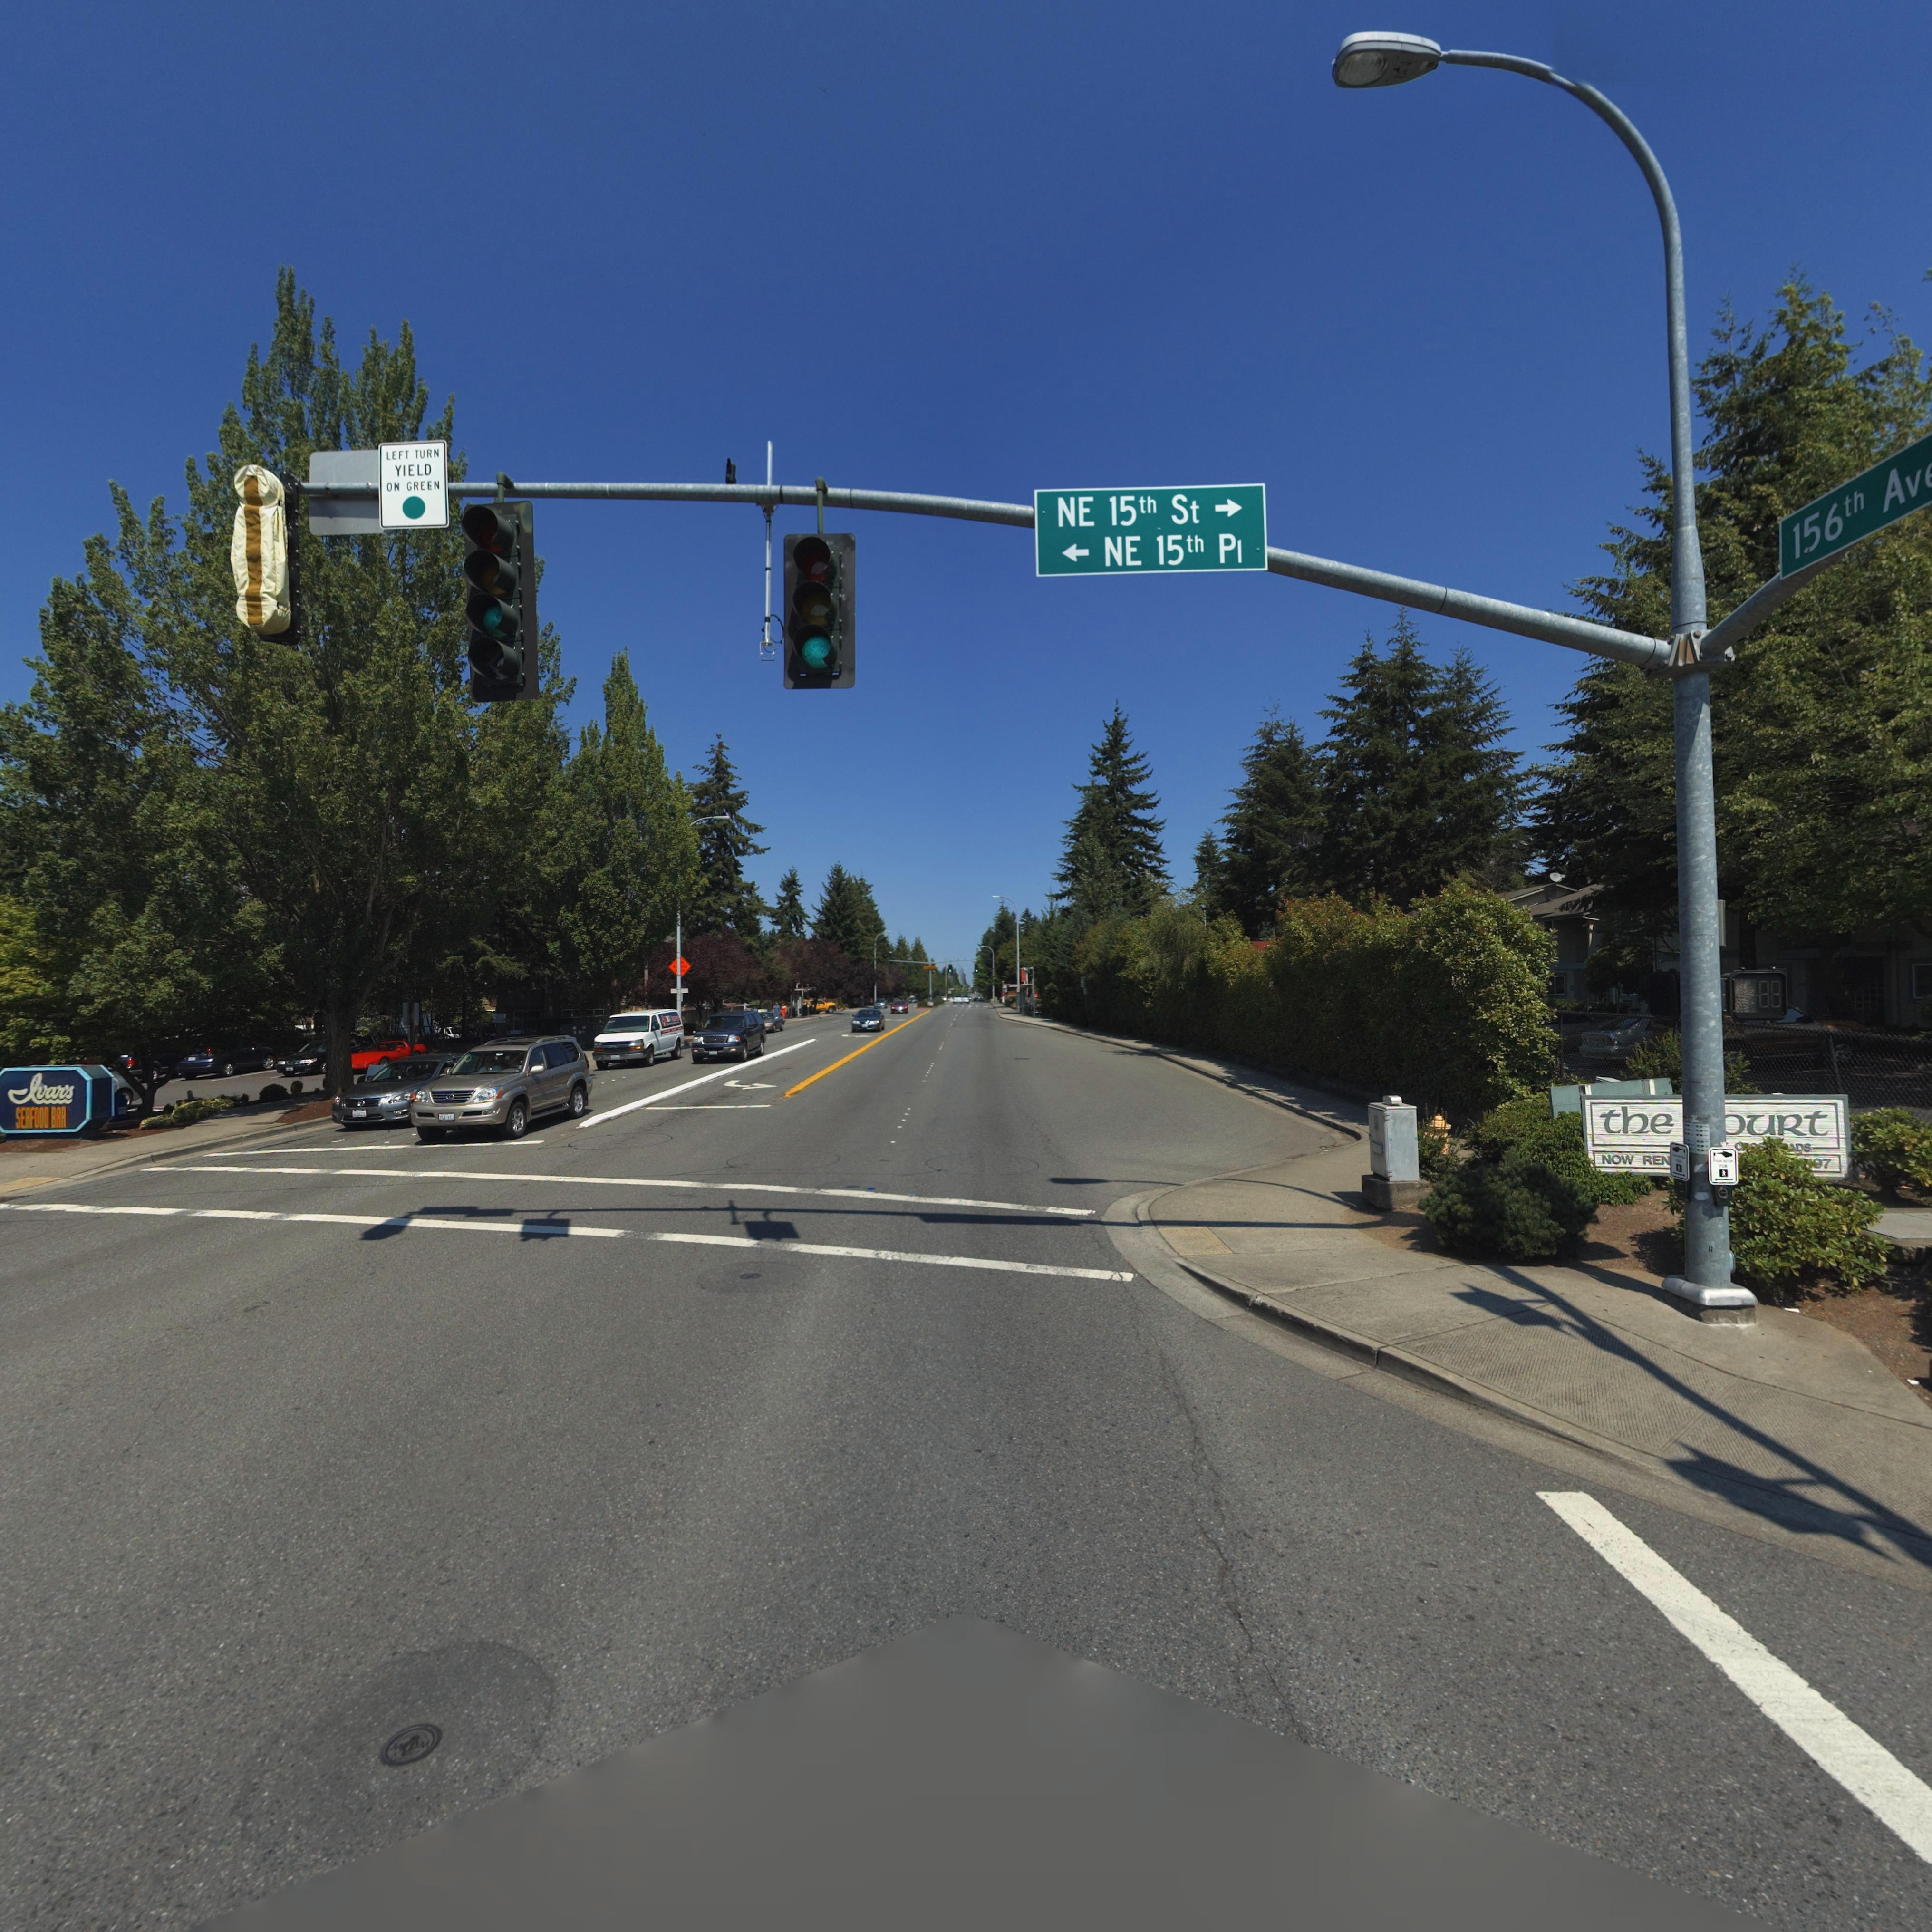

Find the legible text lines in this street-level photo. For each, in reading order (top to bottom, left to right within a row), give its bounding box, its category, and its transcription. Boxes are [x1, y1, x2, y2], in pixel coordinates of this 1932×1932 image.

[1056, 493, 1200, 529] StreetName: NE 15th St
[1786, 462, 1925, 563] StreetName: 156th Av
[1103, 531, 1244, 567] StreetName: NE 15th Pl
[6, 1072, 76, 1106] BusinessName: Ivar's
[1598, 1105, 1674, 1135] BusinessName: the
[1723, 1108, 1829, 1136] BusinessName: *uRt